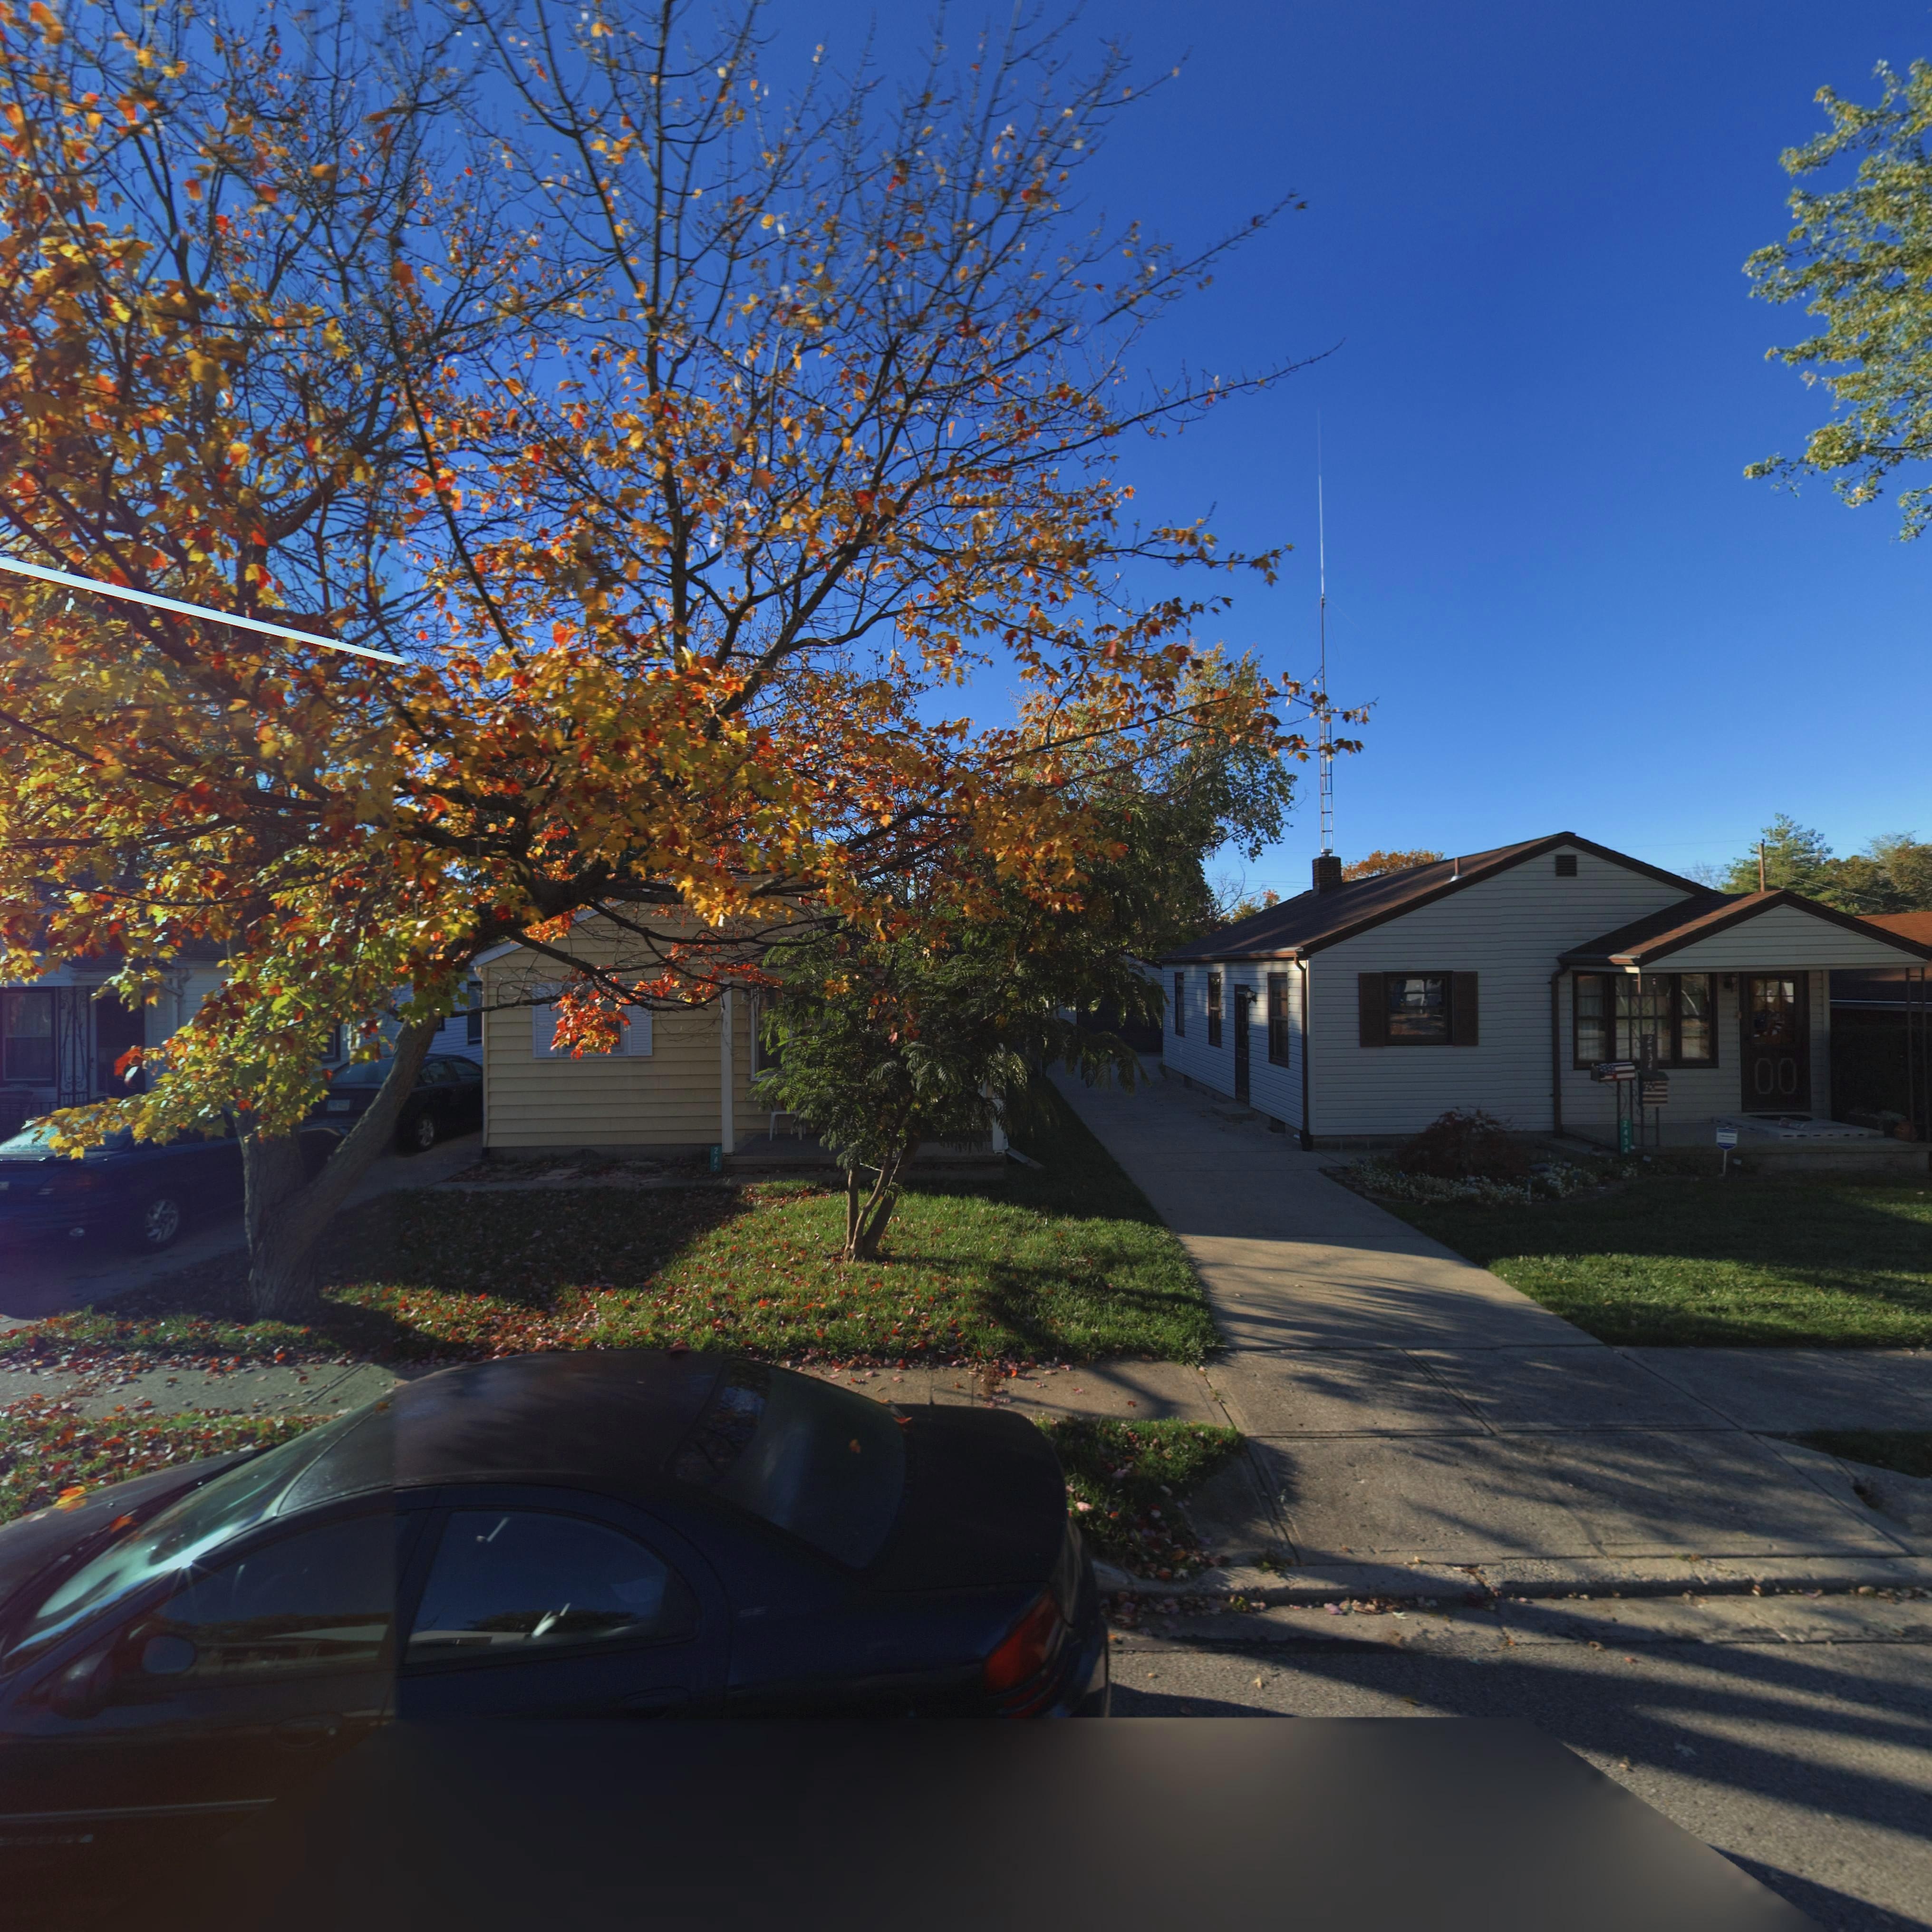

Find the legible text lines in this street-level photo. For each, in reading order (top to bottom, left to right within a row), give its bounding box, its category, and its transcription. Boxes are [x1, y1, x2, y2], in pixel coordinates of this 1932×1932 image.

[1645, 1034, 1653, 1071] StreetNumber: 2434
[1623, 1119, 1629, 1153] StreetNumber: 2434
[712, 1147, 719, 1172] StreetNumber: 242